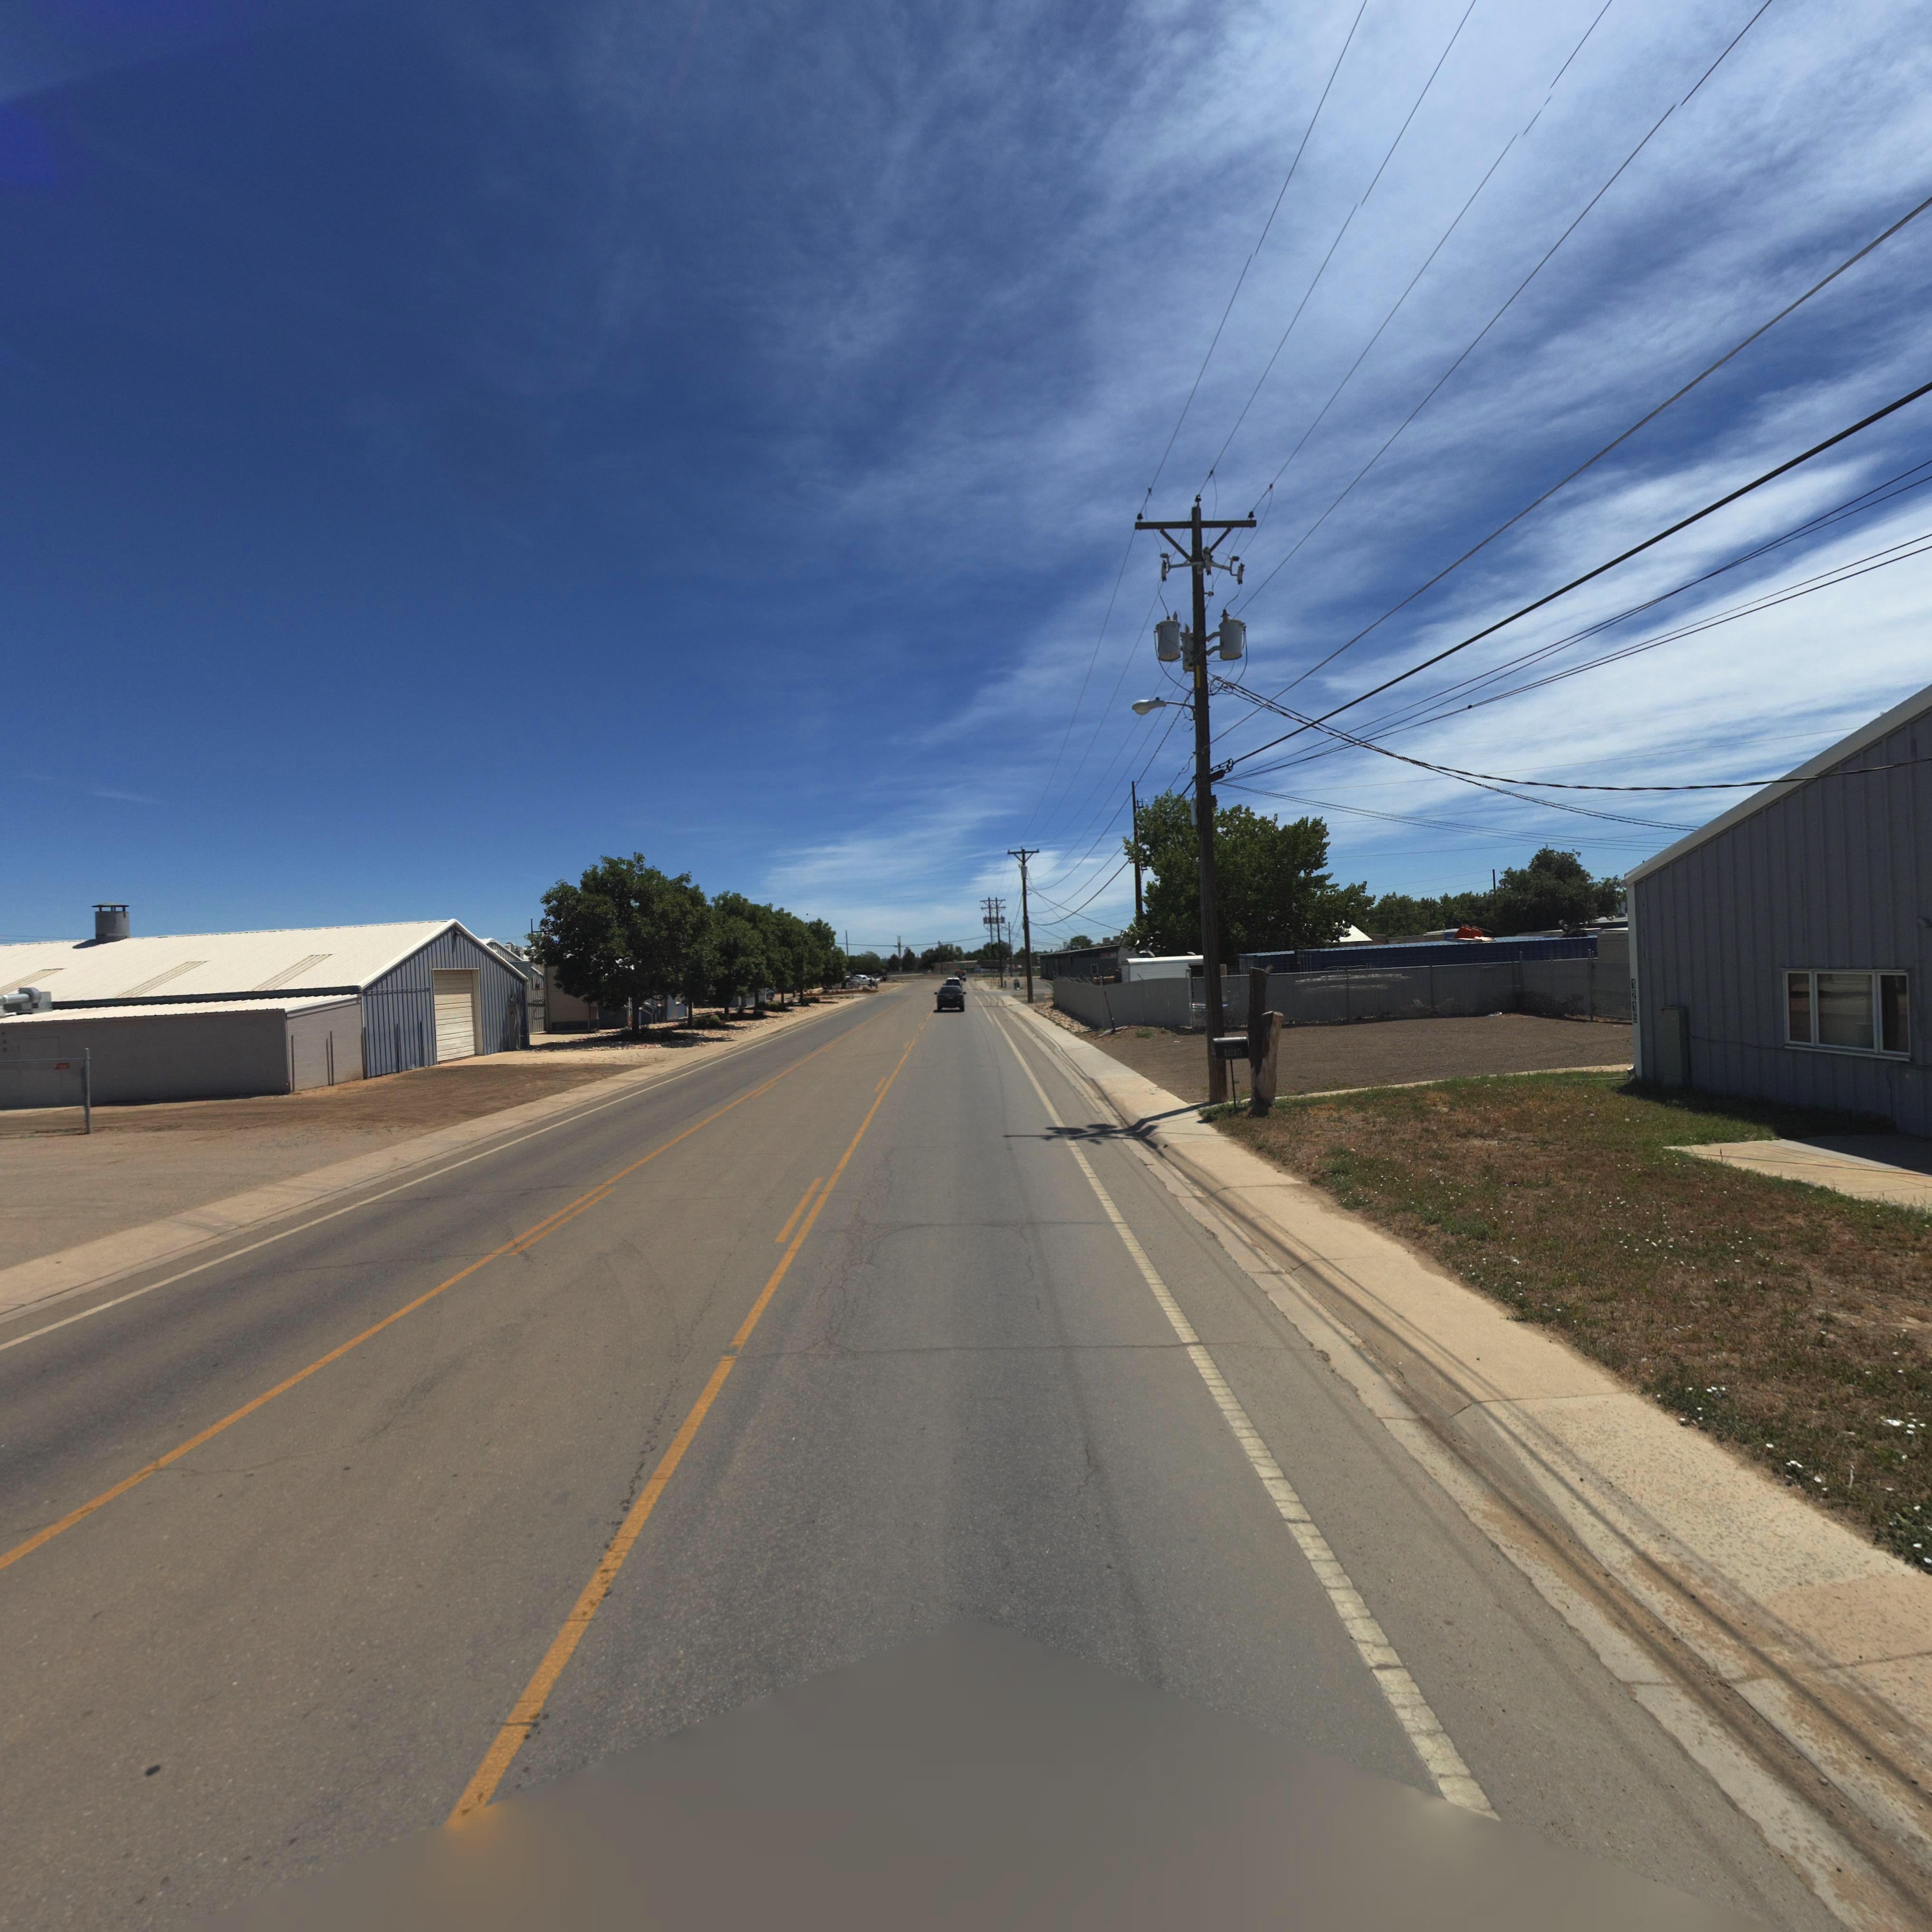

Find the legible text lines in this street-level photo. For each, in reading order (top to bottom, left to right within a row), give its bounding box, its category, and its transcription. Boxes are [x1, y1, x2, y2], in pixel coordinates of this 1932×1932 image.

[1631, 978, 1637, 1023] StreetNumber: 1215
[1223, 1047, 1242, 1057] StreetNumber: 1215